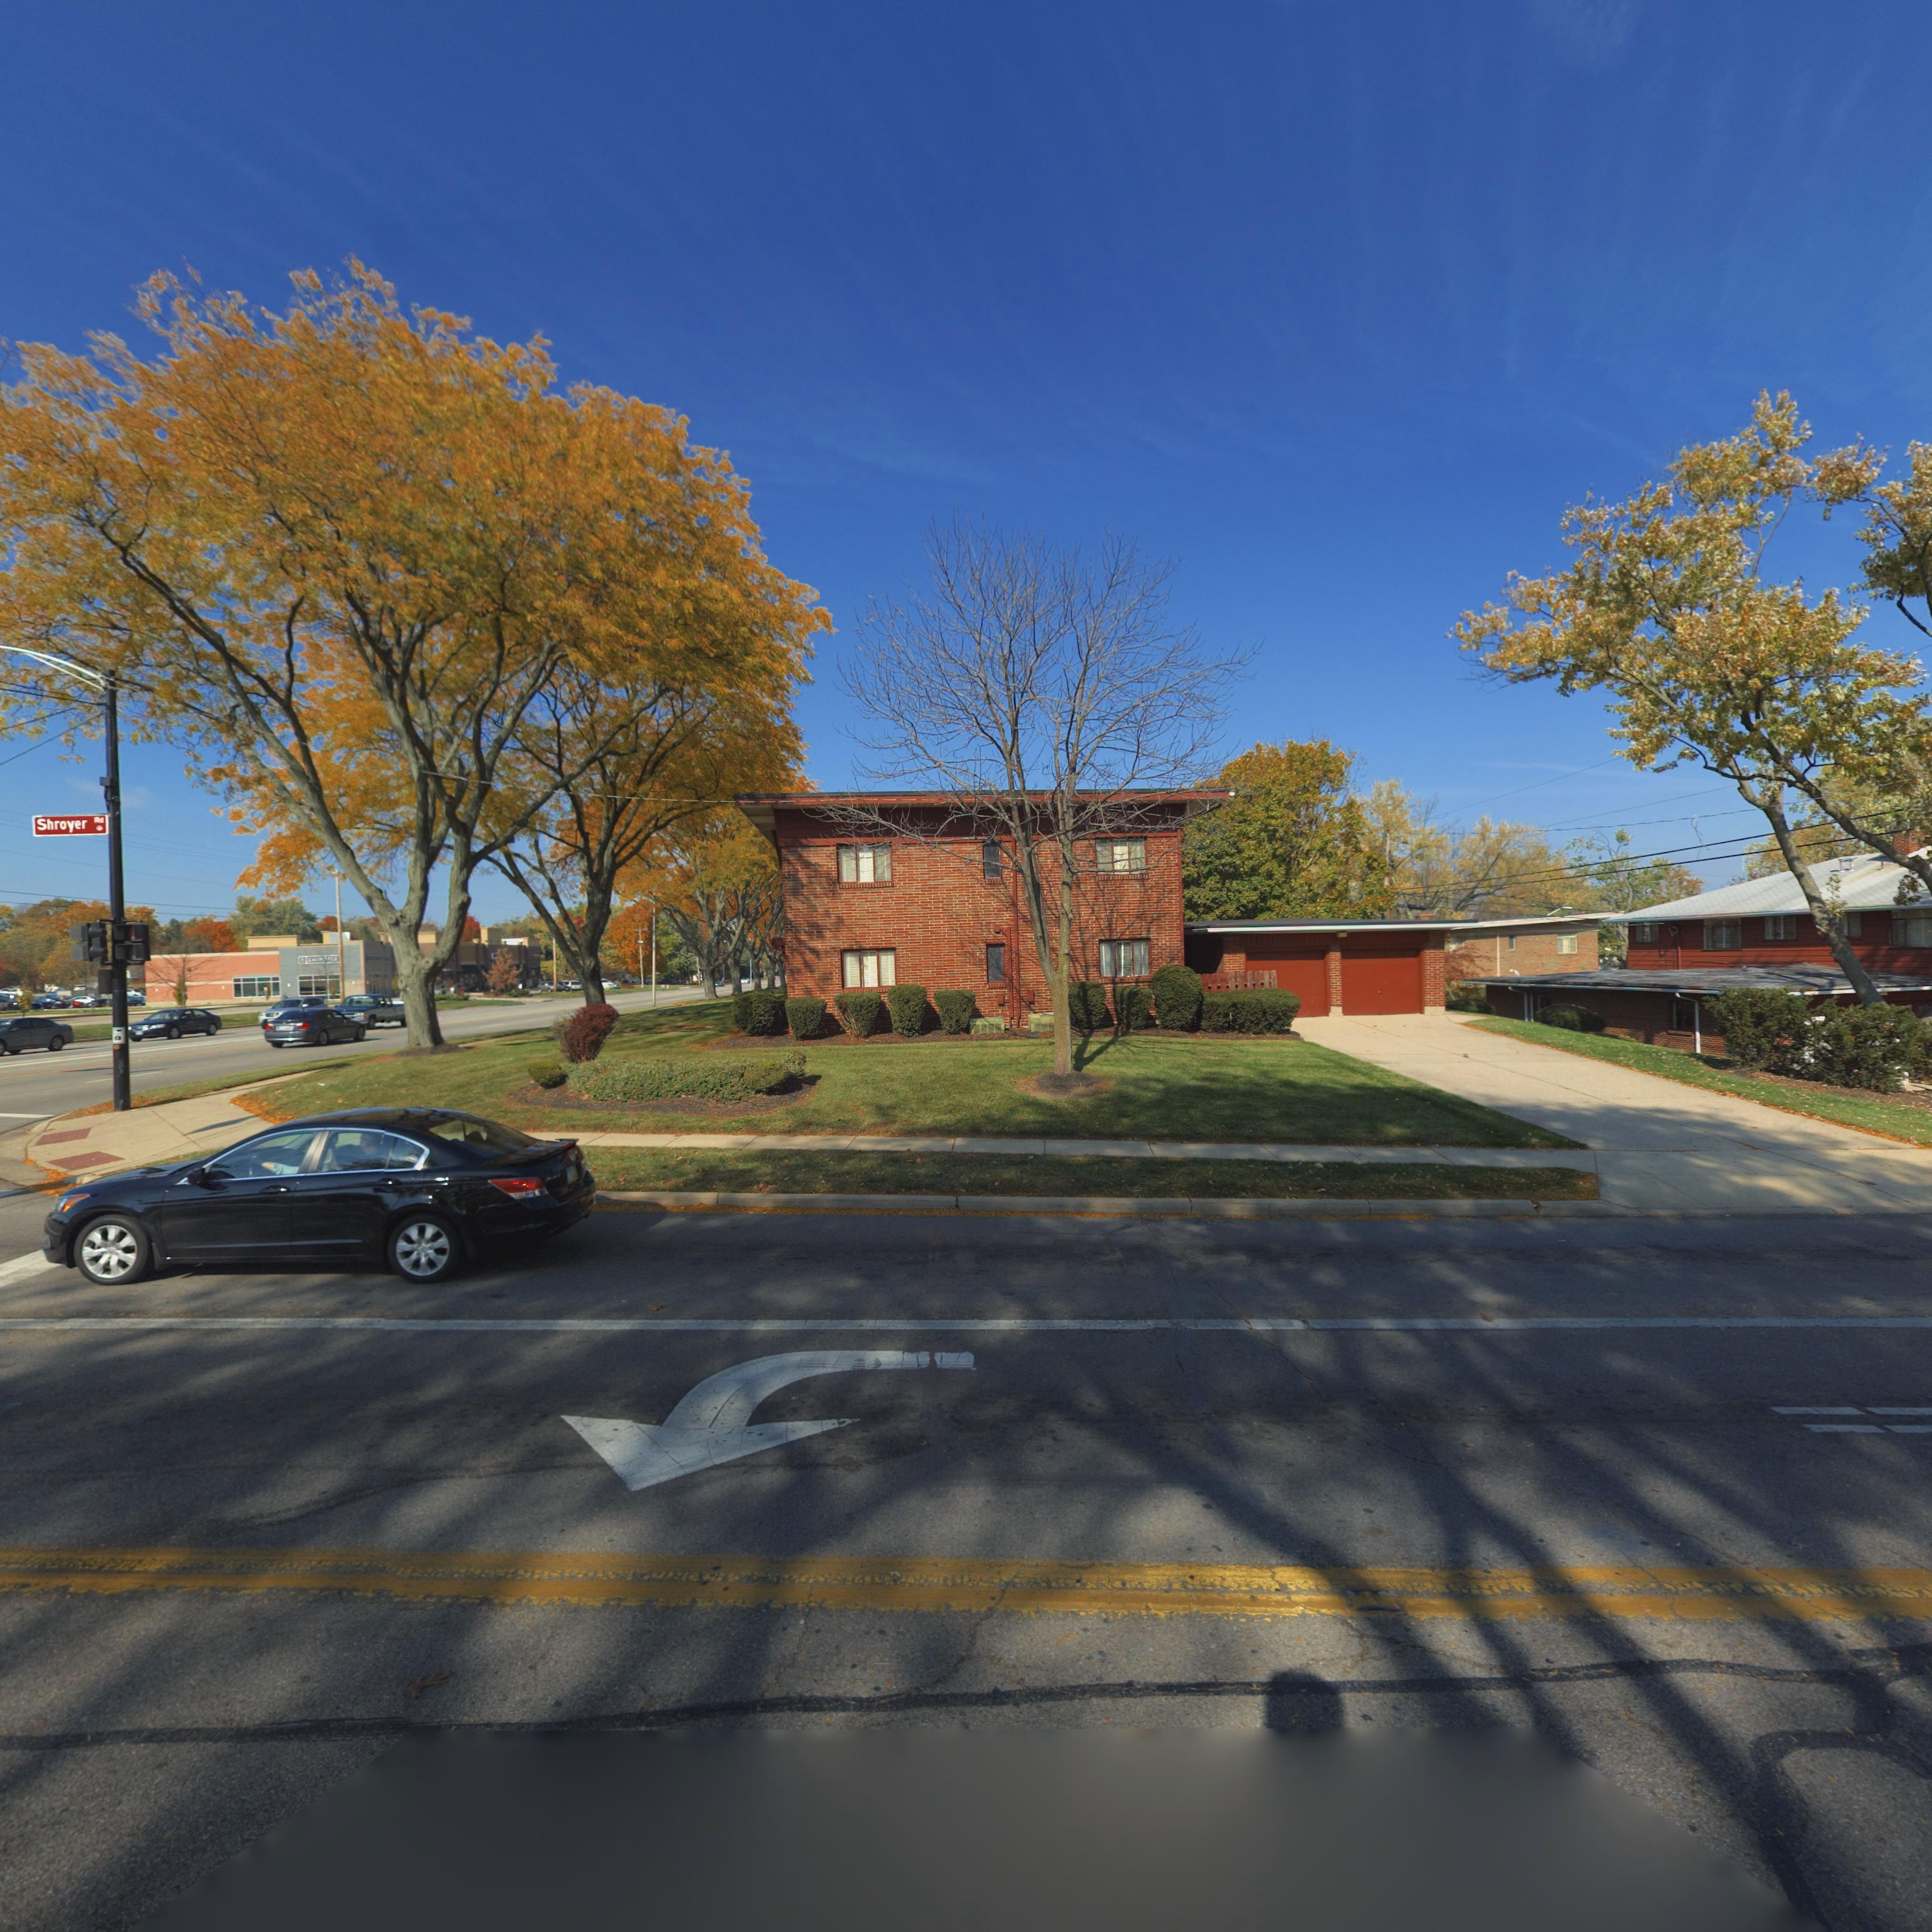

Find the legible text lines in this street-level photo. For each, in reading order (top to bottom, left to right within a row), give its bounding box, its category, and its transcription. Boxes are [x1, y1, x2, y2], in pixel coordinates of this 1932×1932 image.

[35, 815, 106, 834] StreetName: Shroyer **
[307, 956, 313, 963] BusinessName: C